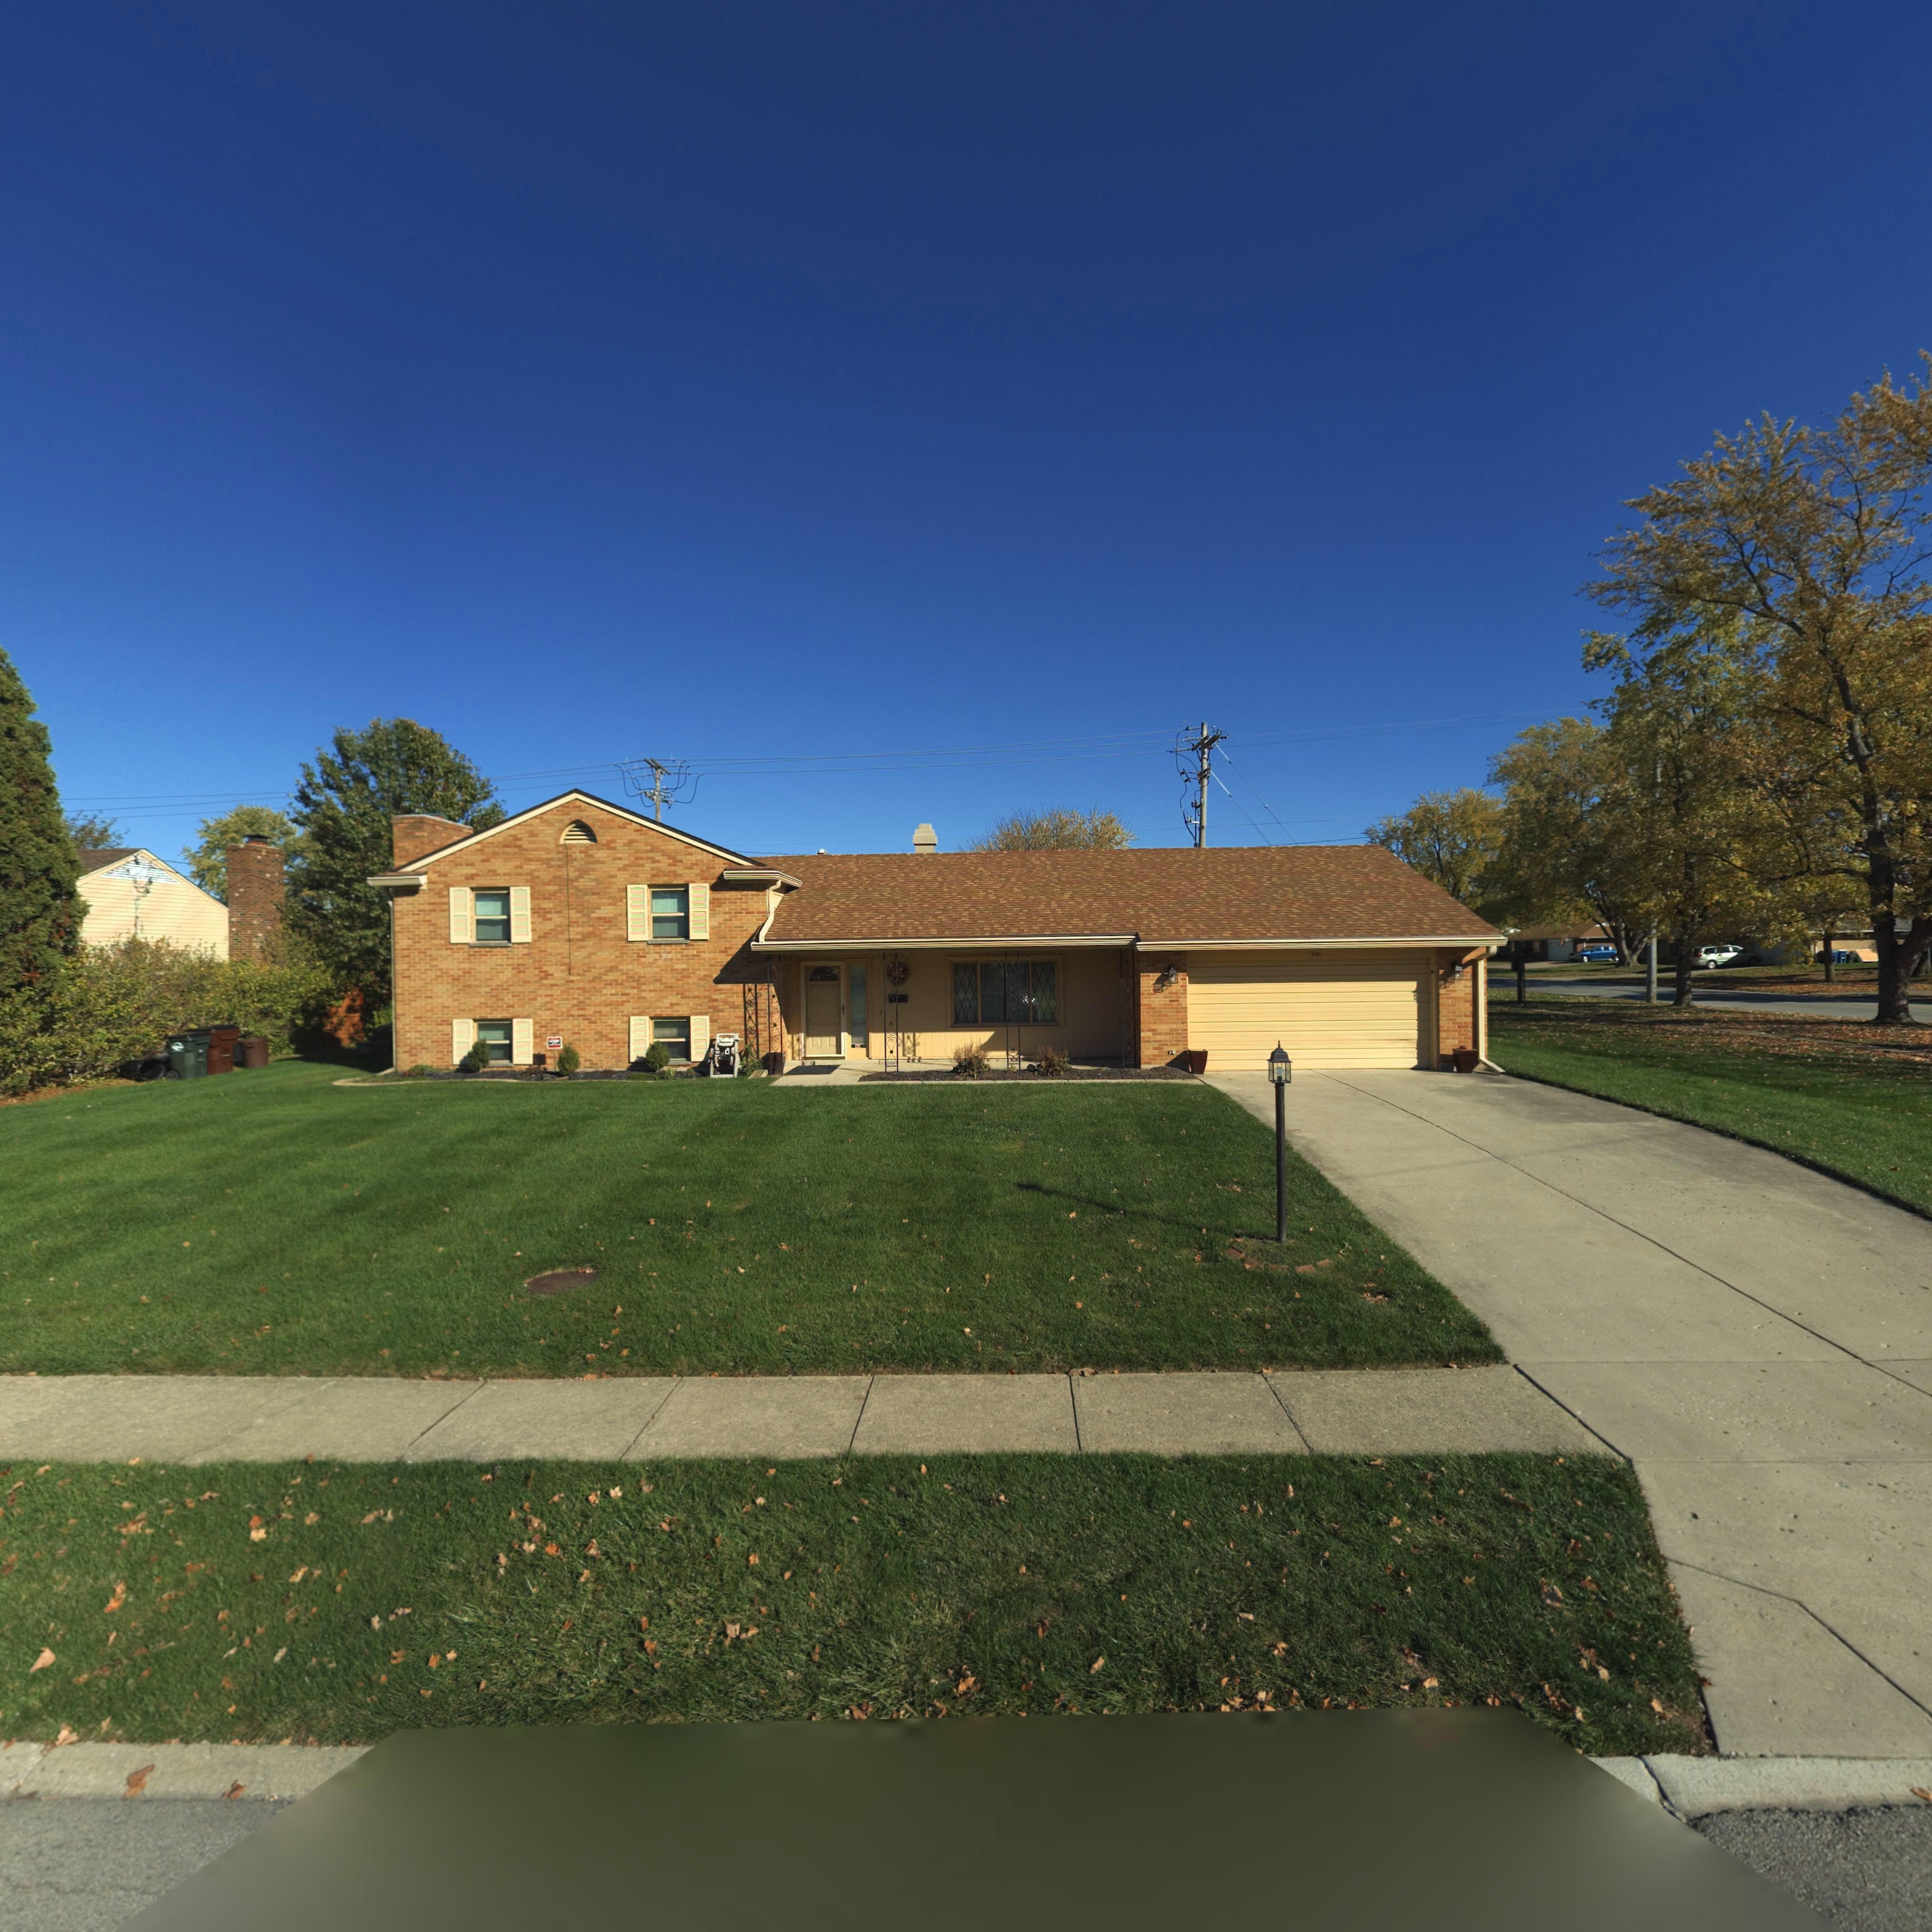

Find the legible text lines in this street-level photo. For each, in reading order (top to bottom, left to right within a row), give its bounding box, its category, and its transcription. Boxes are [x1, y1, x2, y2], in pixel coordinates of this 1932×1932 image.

[1307, 951, 1322, 956] StreetNumber: 7000